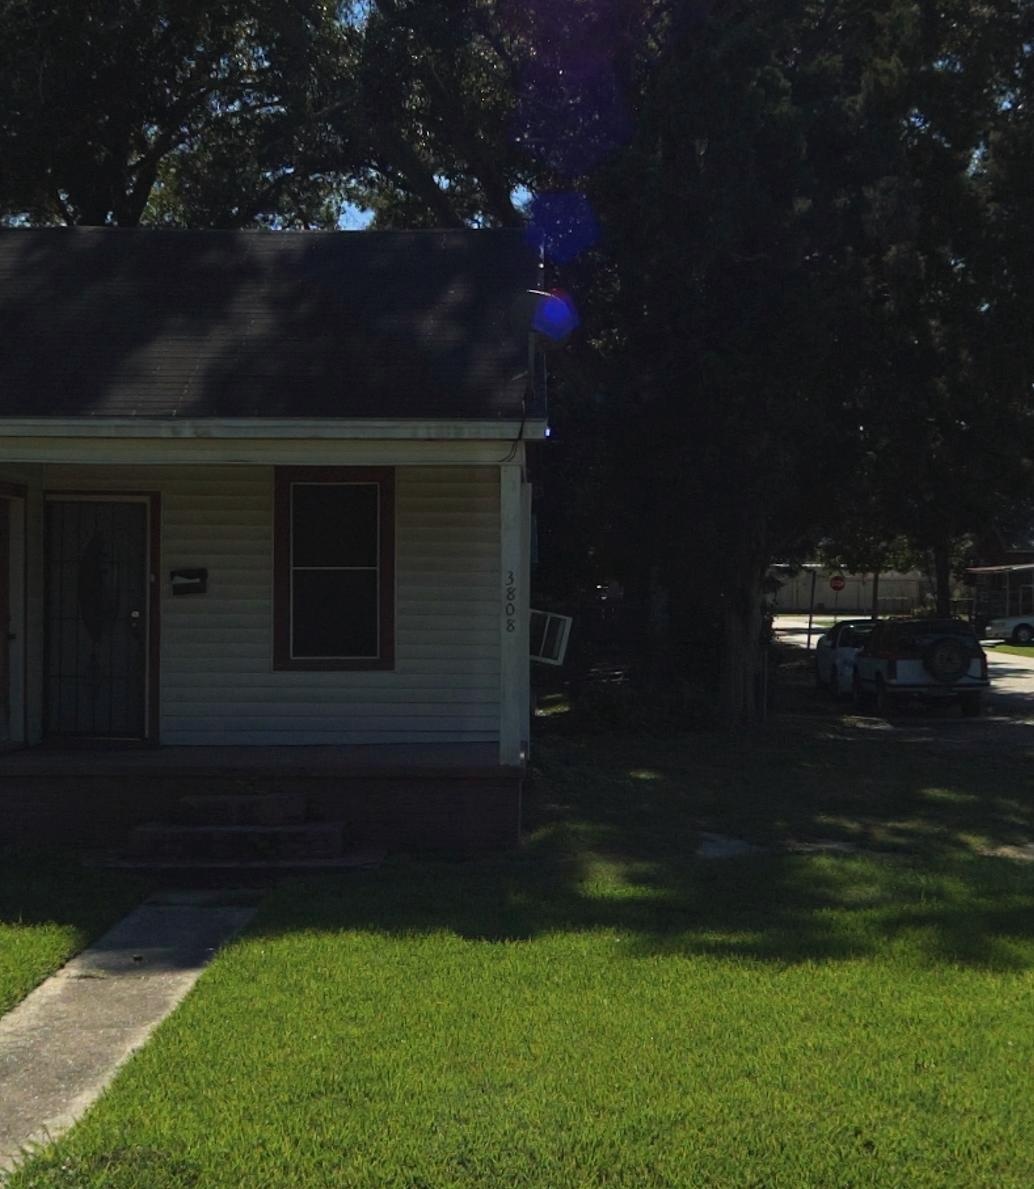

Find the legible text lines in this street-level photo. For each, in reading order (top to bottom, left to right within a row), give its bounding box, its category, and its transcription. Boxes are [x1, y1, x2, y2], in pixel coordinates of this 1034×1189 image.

[504, 569, 517, 634] StreetNumber: 3808